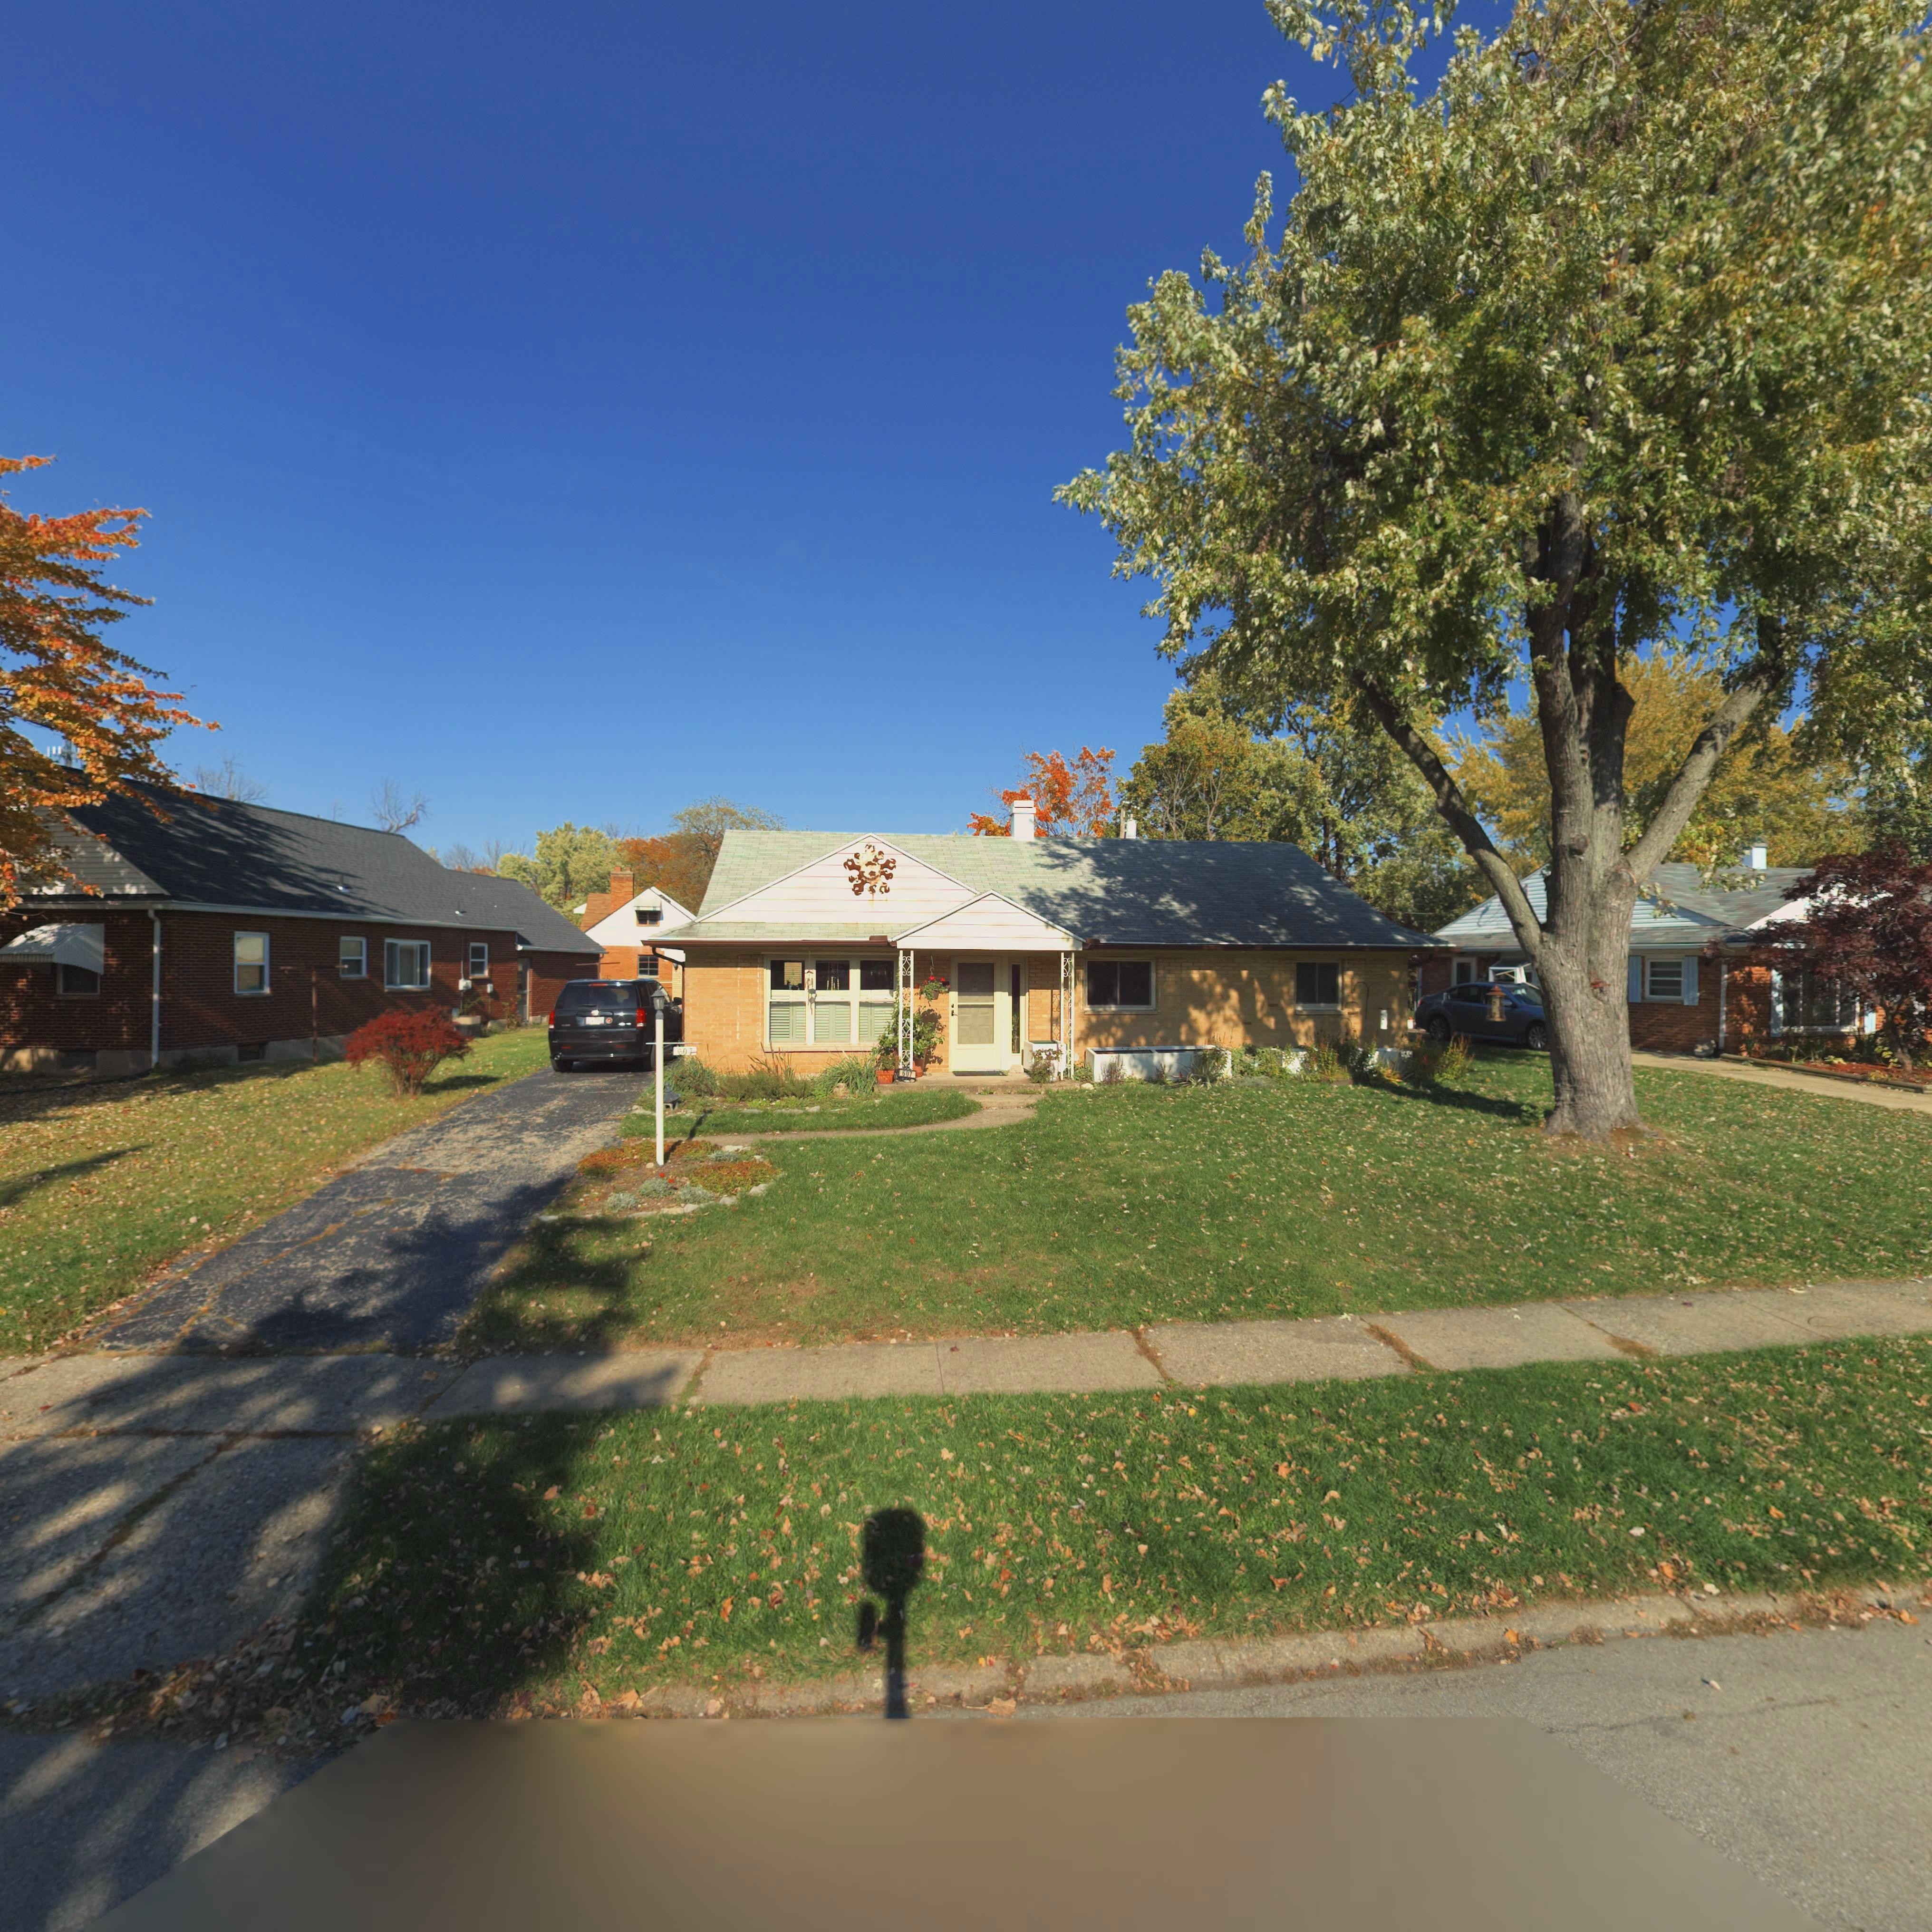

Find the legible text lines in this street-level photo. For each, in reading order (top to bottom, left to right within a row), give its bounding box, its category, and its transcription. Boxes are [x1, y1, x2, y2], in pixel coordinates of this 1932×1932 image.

[677, 1047, 693, 1055] StreetNumber: 607
[902, 1070, 913, 1078] StreetNumber: 607